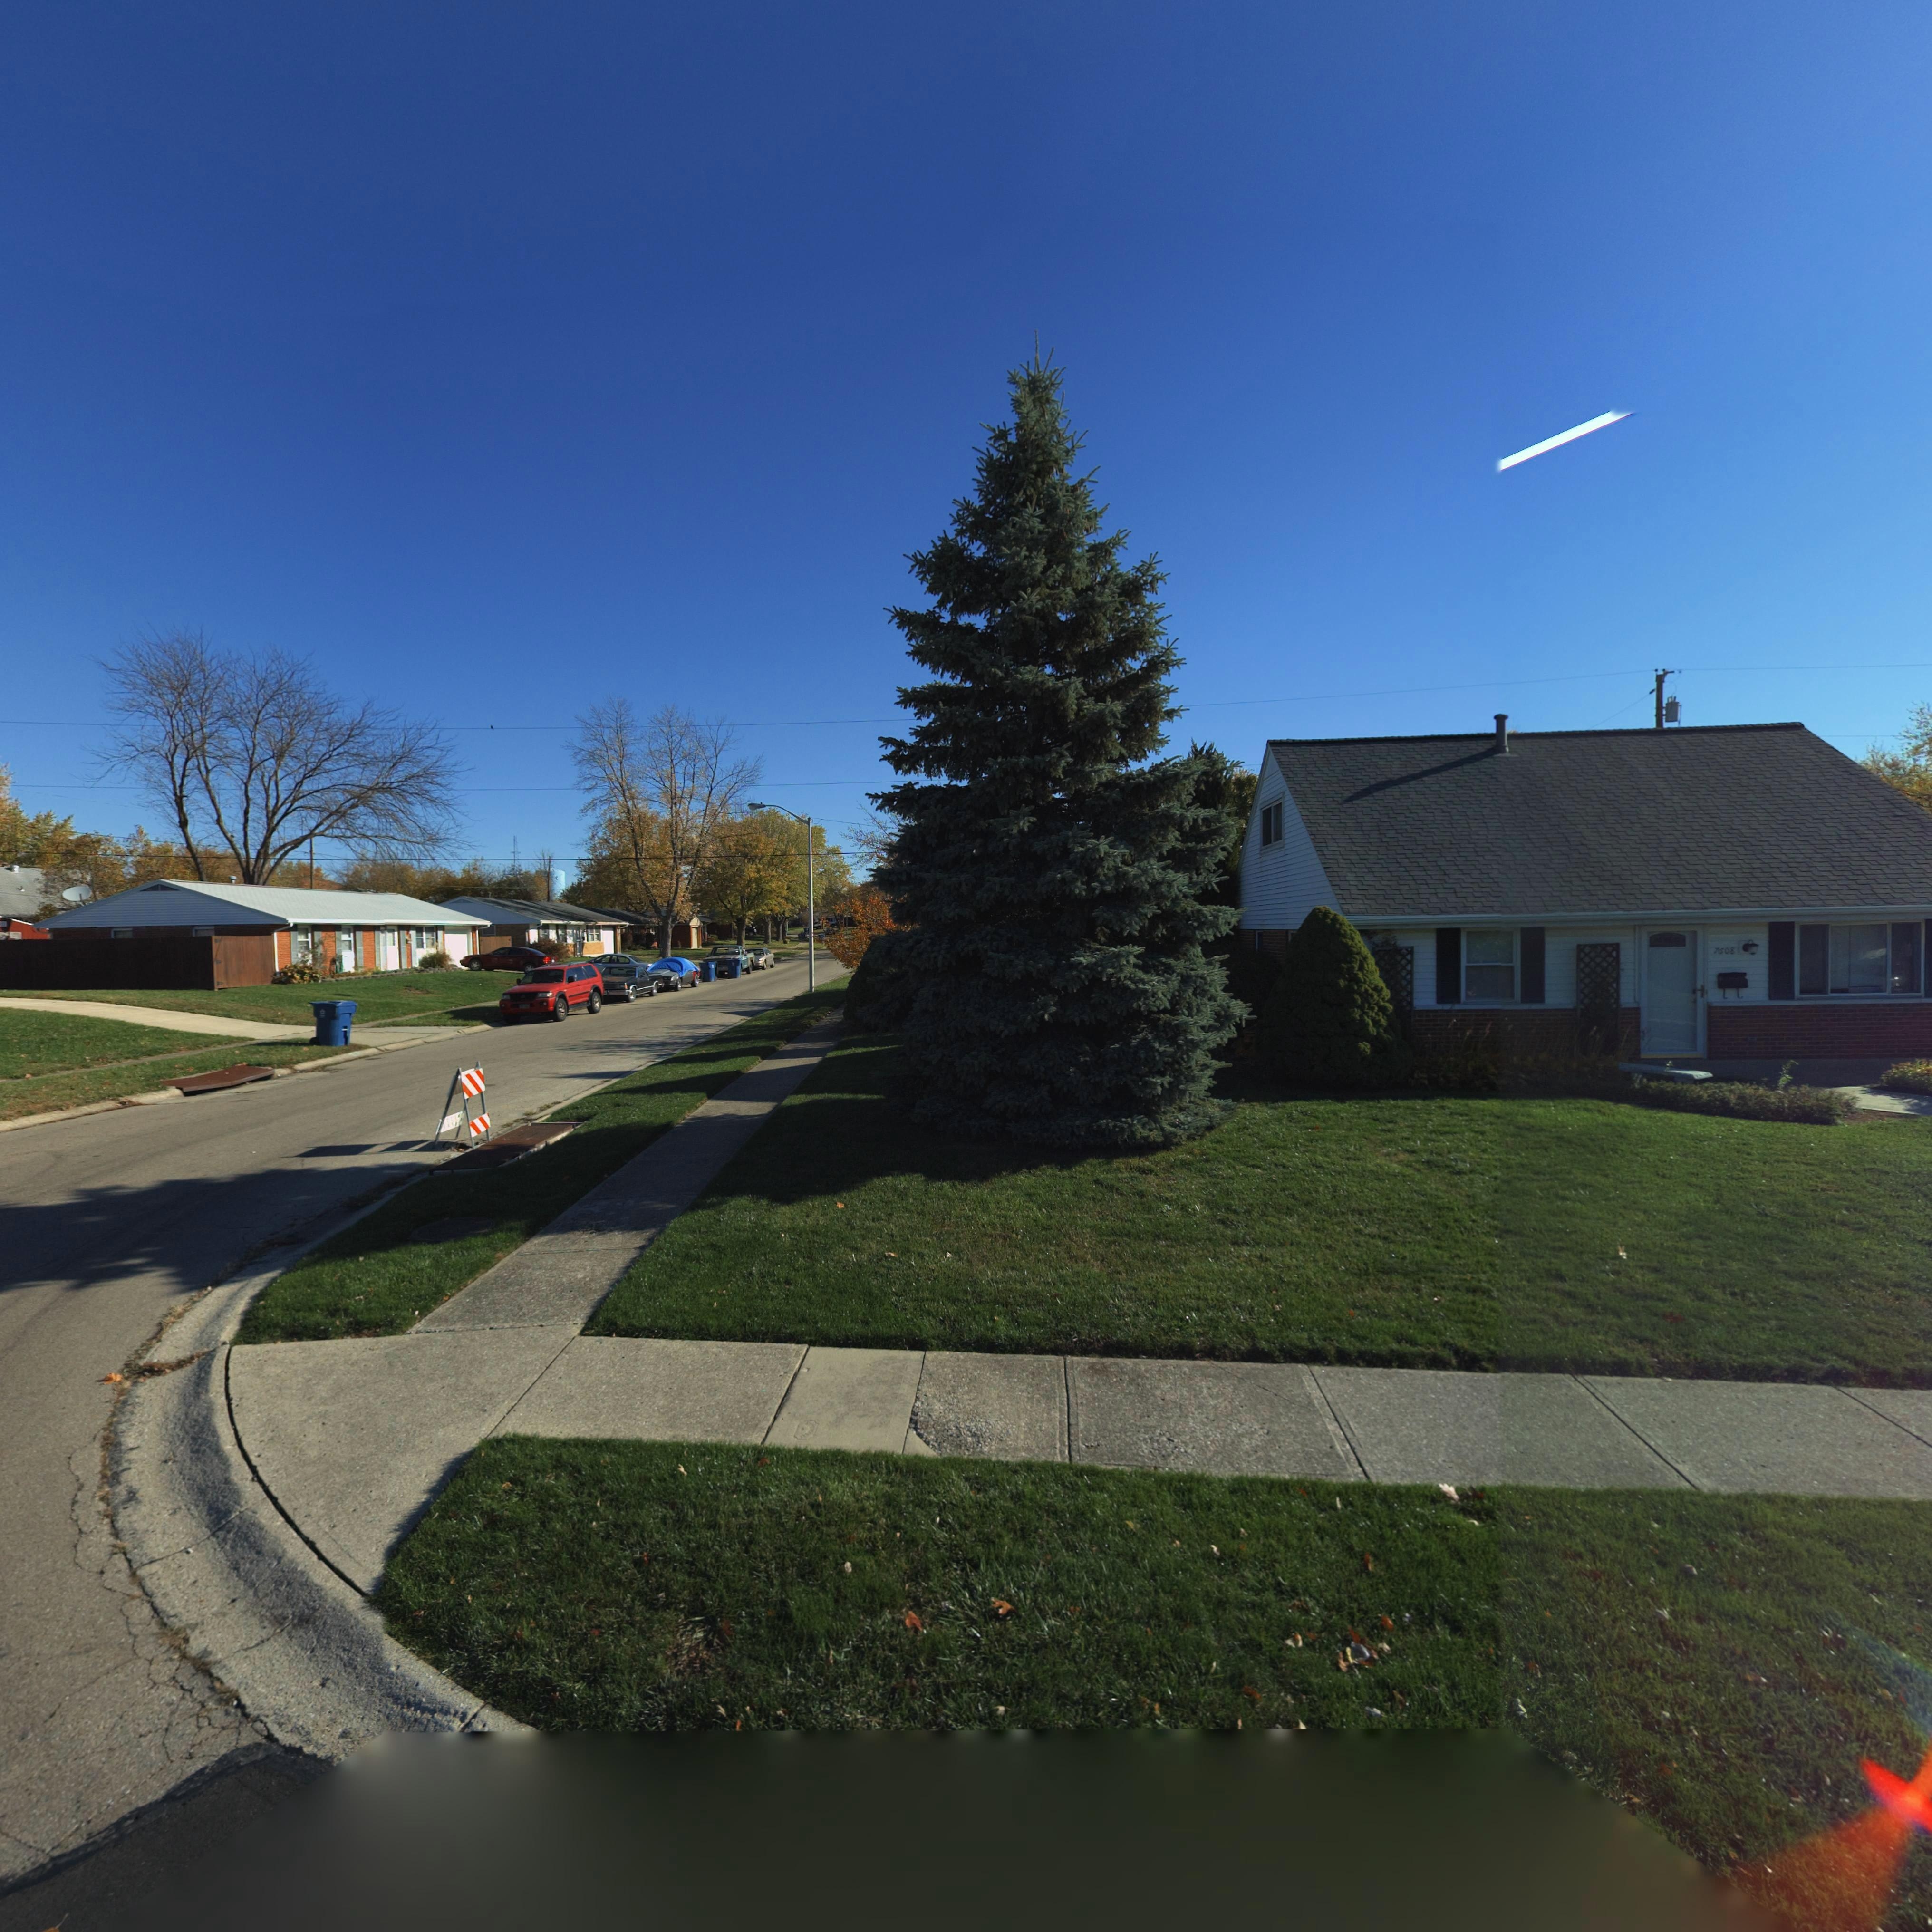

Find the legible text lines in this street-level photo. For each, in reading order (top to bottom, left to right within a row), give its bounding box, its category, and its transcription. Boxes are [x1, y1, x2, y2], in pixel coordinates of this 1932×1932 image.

[1712, 946, 1736, 956] StreetNumber: 7608